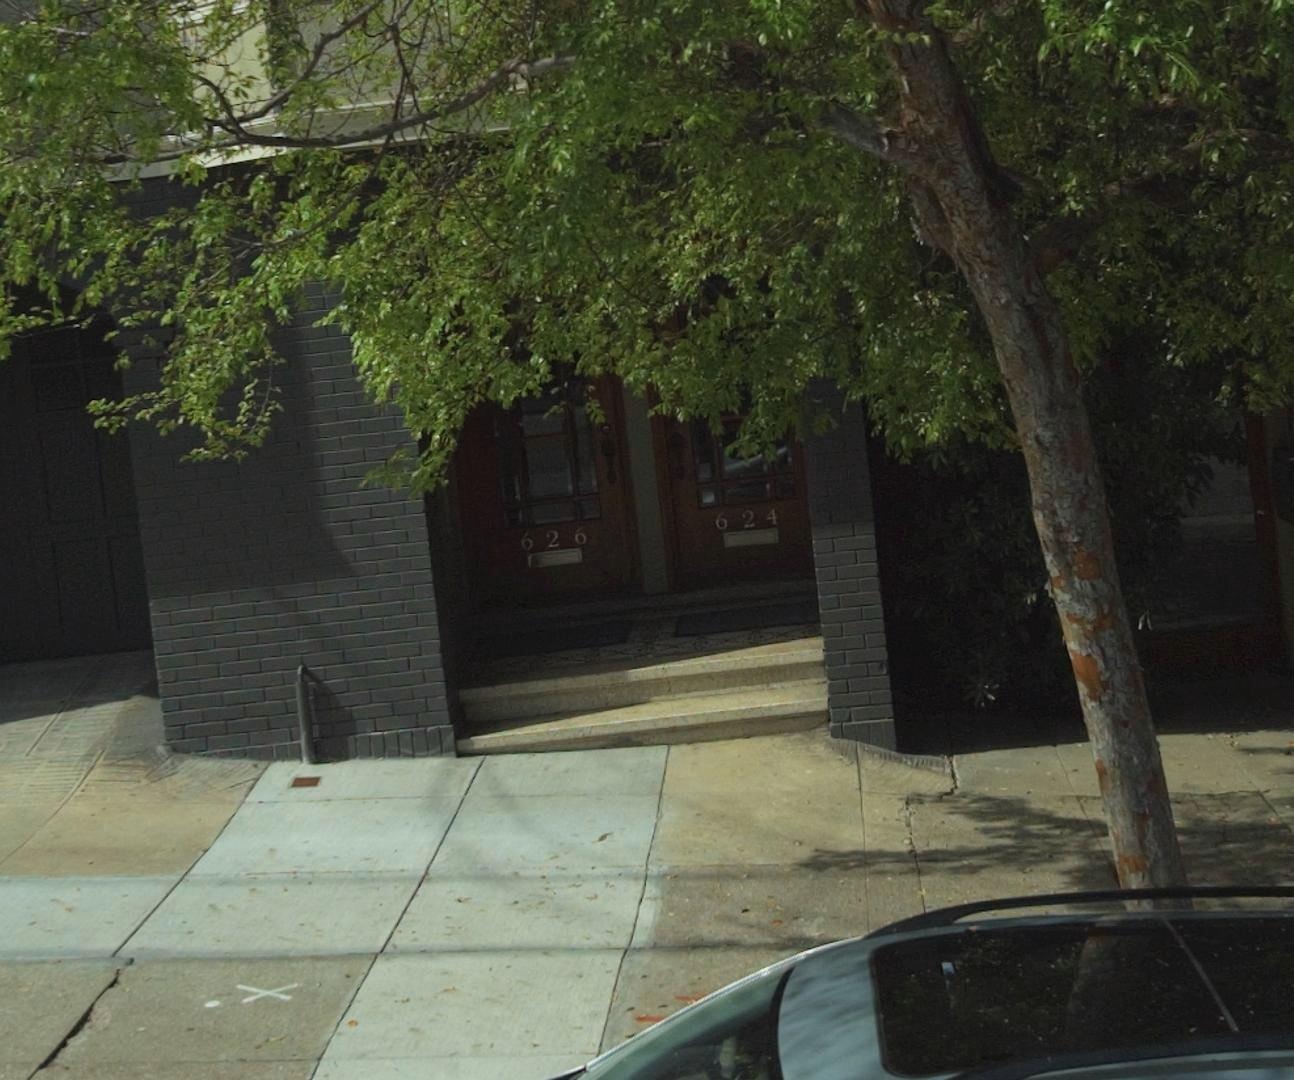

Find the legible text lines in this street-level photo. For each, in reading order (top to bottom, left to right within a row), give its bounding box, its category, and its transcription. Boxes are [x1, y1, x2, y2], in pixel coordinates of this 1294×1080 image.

[712, 504, 782, 534] StreetNumber: 624
[517, 524, 590, 553] StreetNumber: 626
[233, 978, 305, 1007] None: X